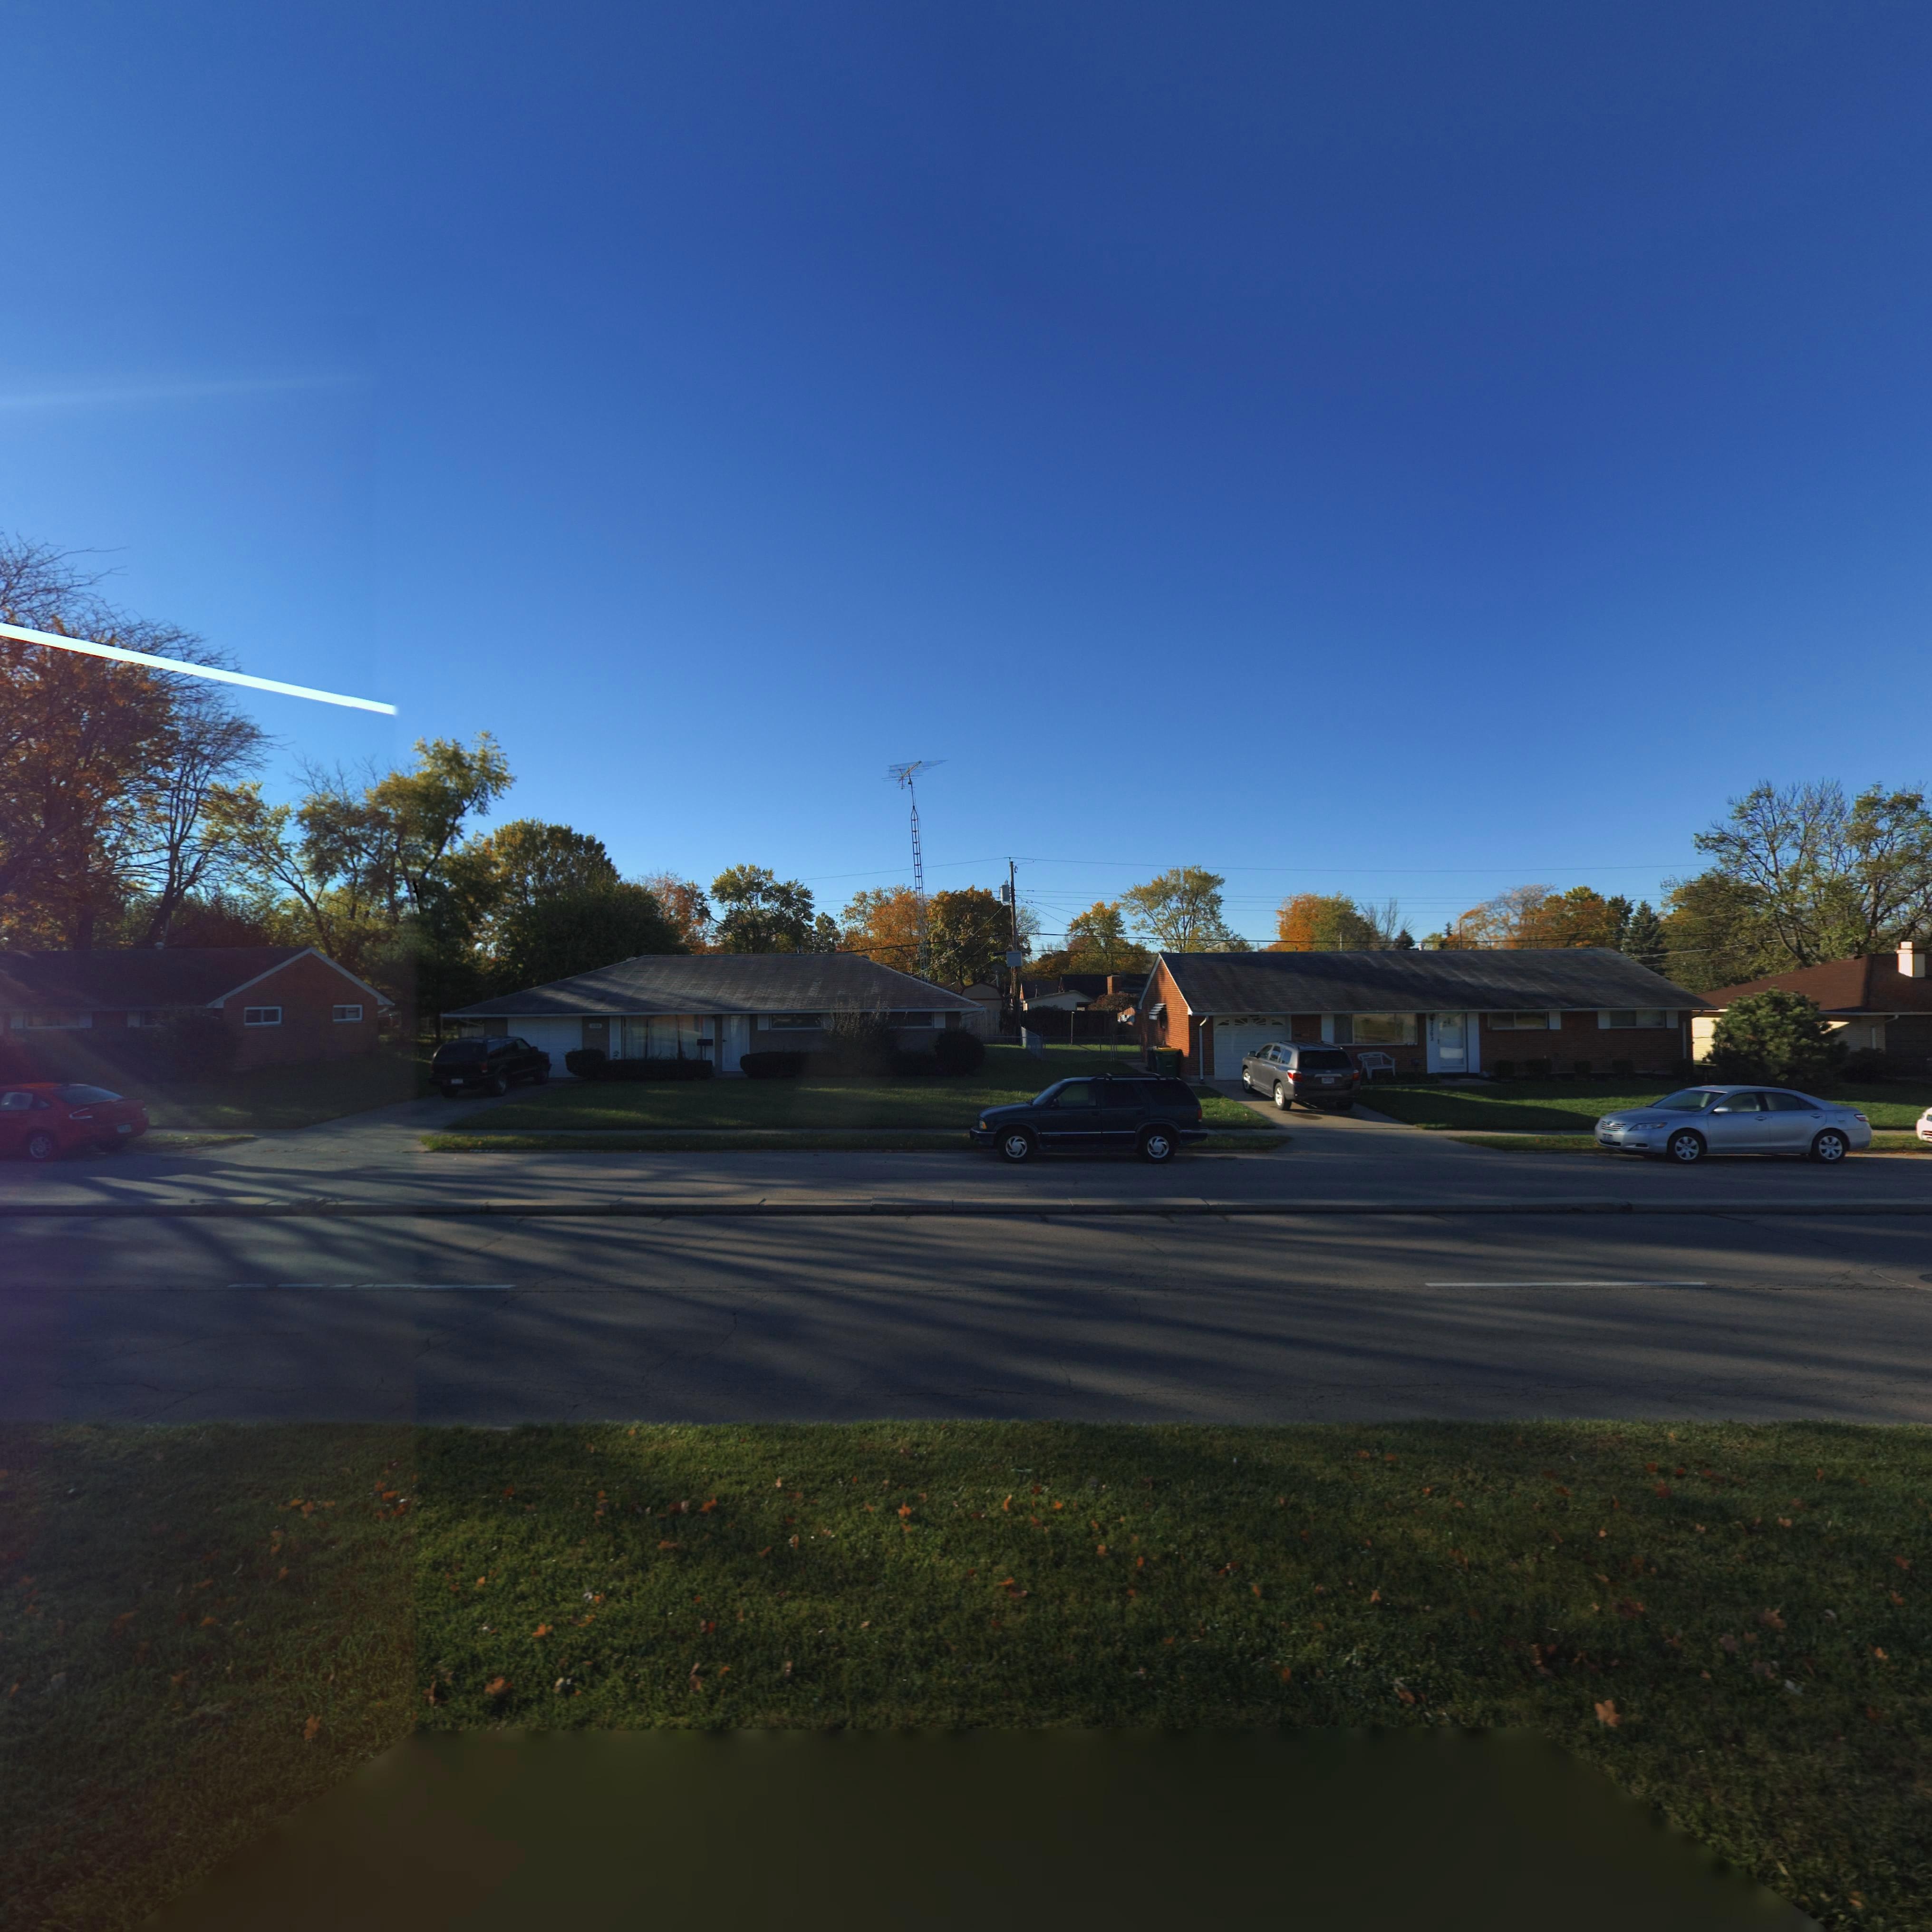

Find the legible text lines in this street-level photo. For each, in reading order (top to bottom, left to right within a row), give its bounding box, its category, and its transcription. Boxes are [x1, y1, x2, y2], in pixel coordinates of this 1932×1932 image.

[1429, 1021, 1435, 1042] StreetNumber: 2202